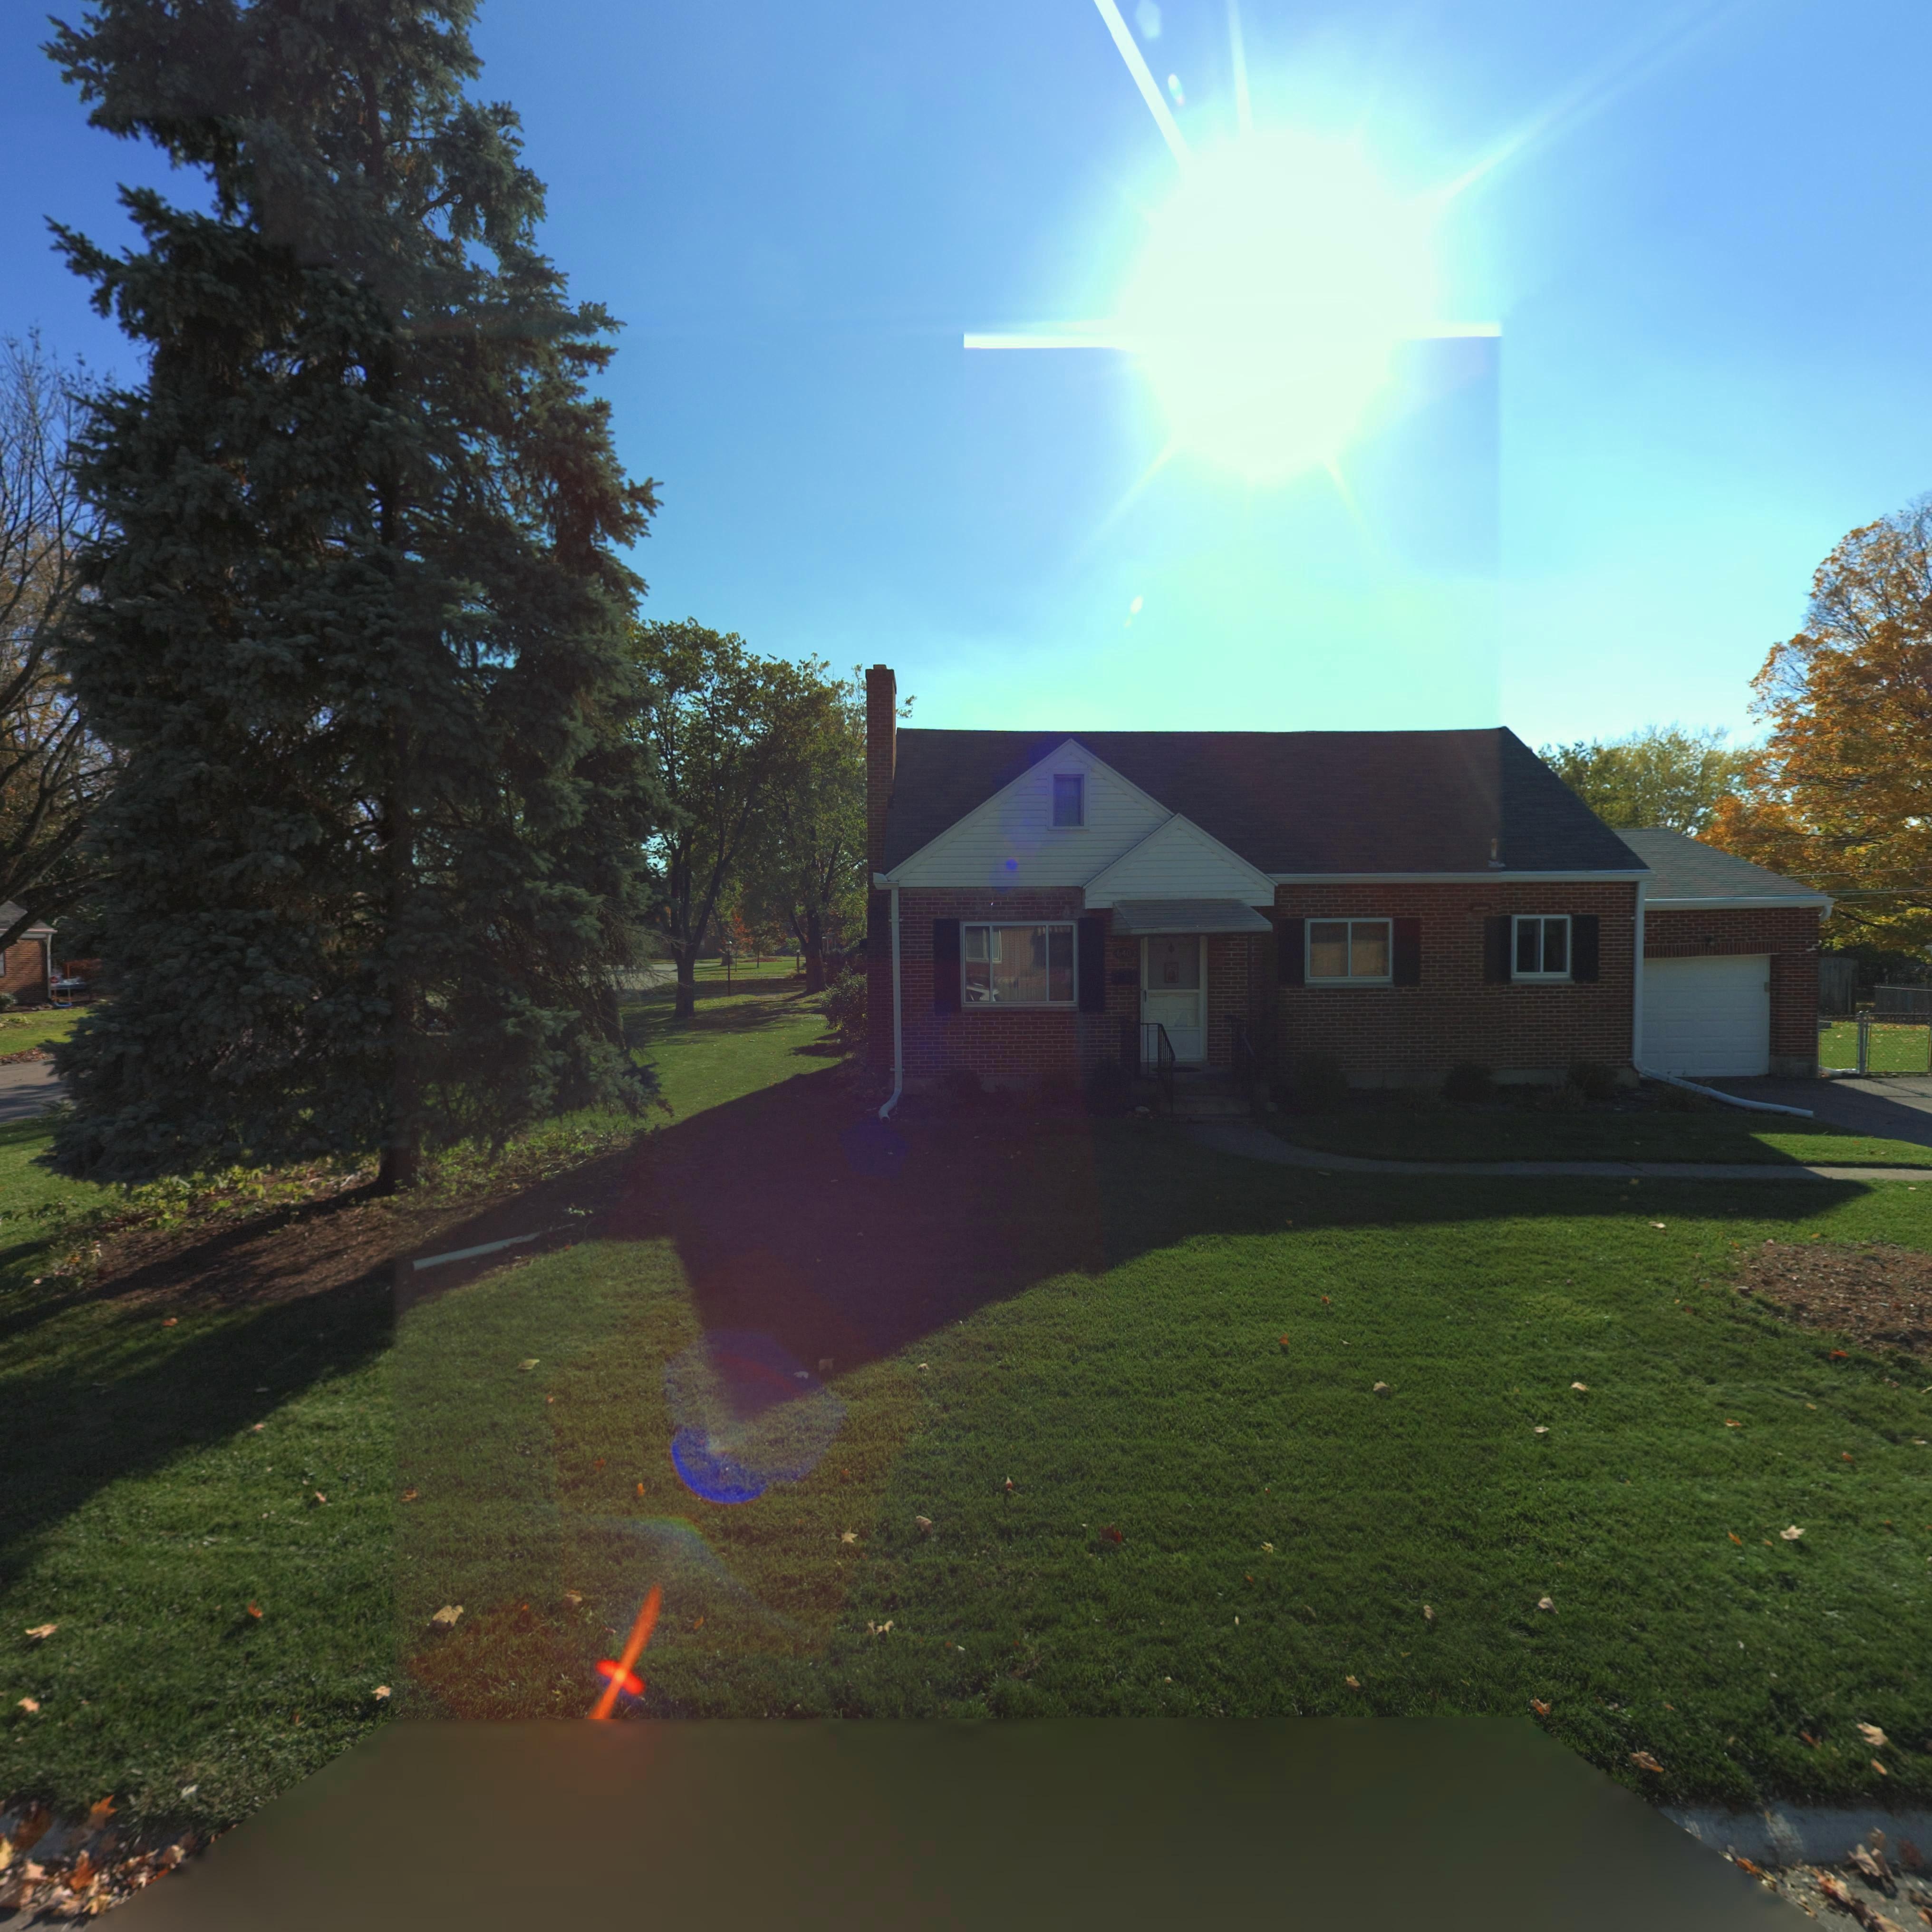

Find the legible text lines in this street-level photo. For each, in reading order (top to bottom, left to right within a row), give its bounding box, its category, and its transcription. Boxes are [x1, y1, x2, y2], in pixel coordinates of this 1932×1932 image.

[1116, 949, 1131, 957] StreetNumber: 640